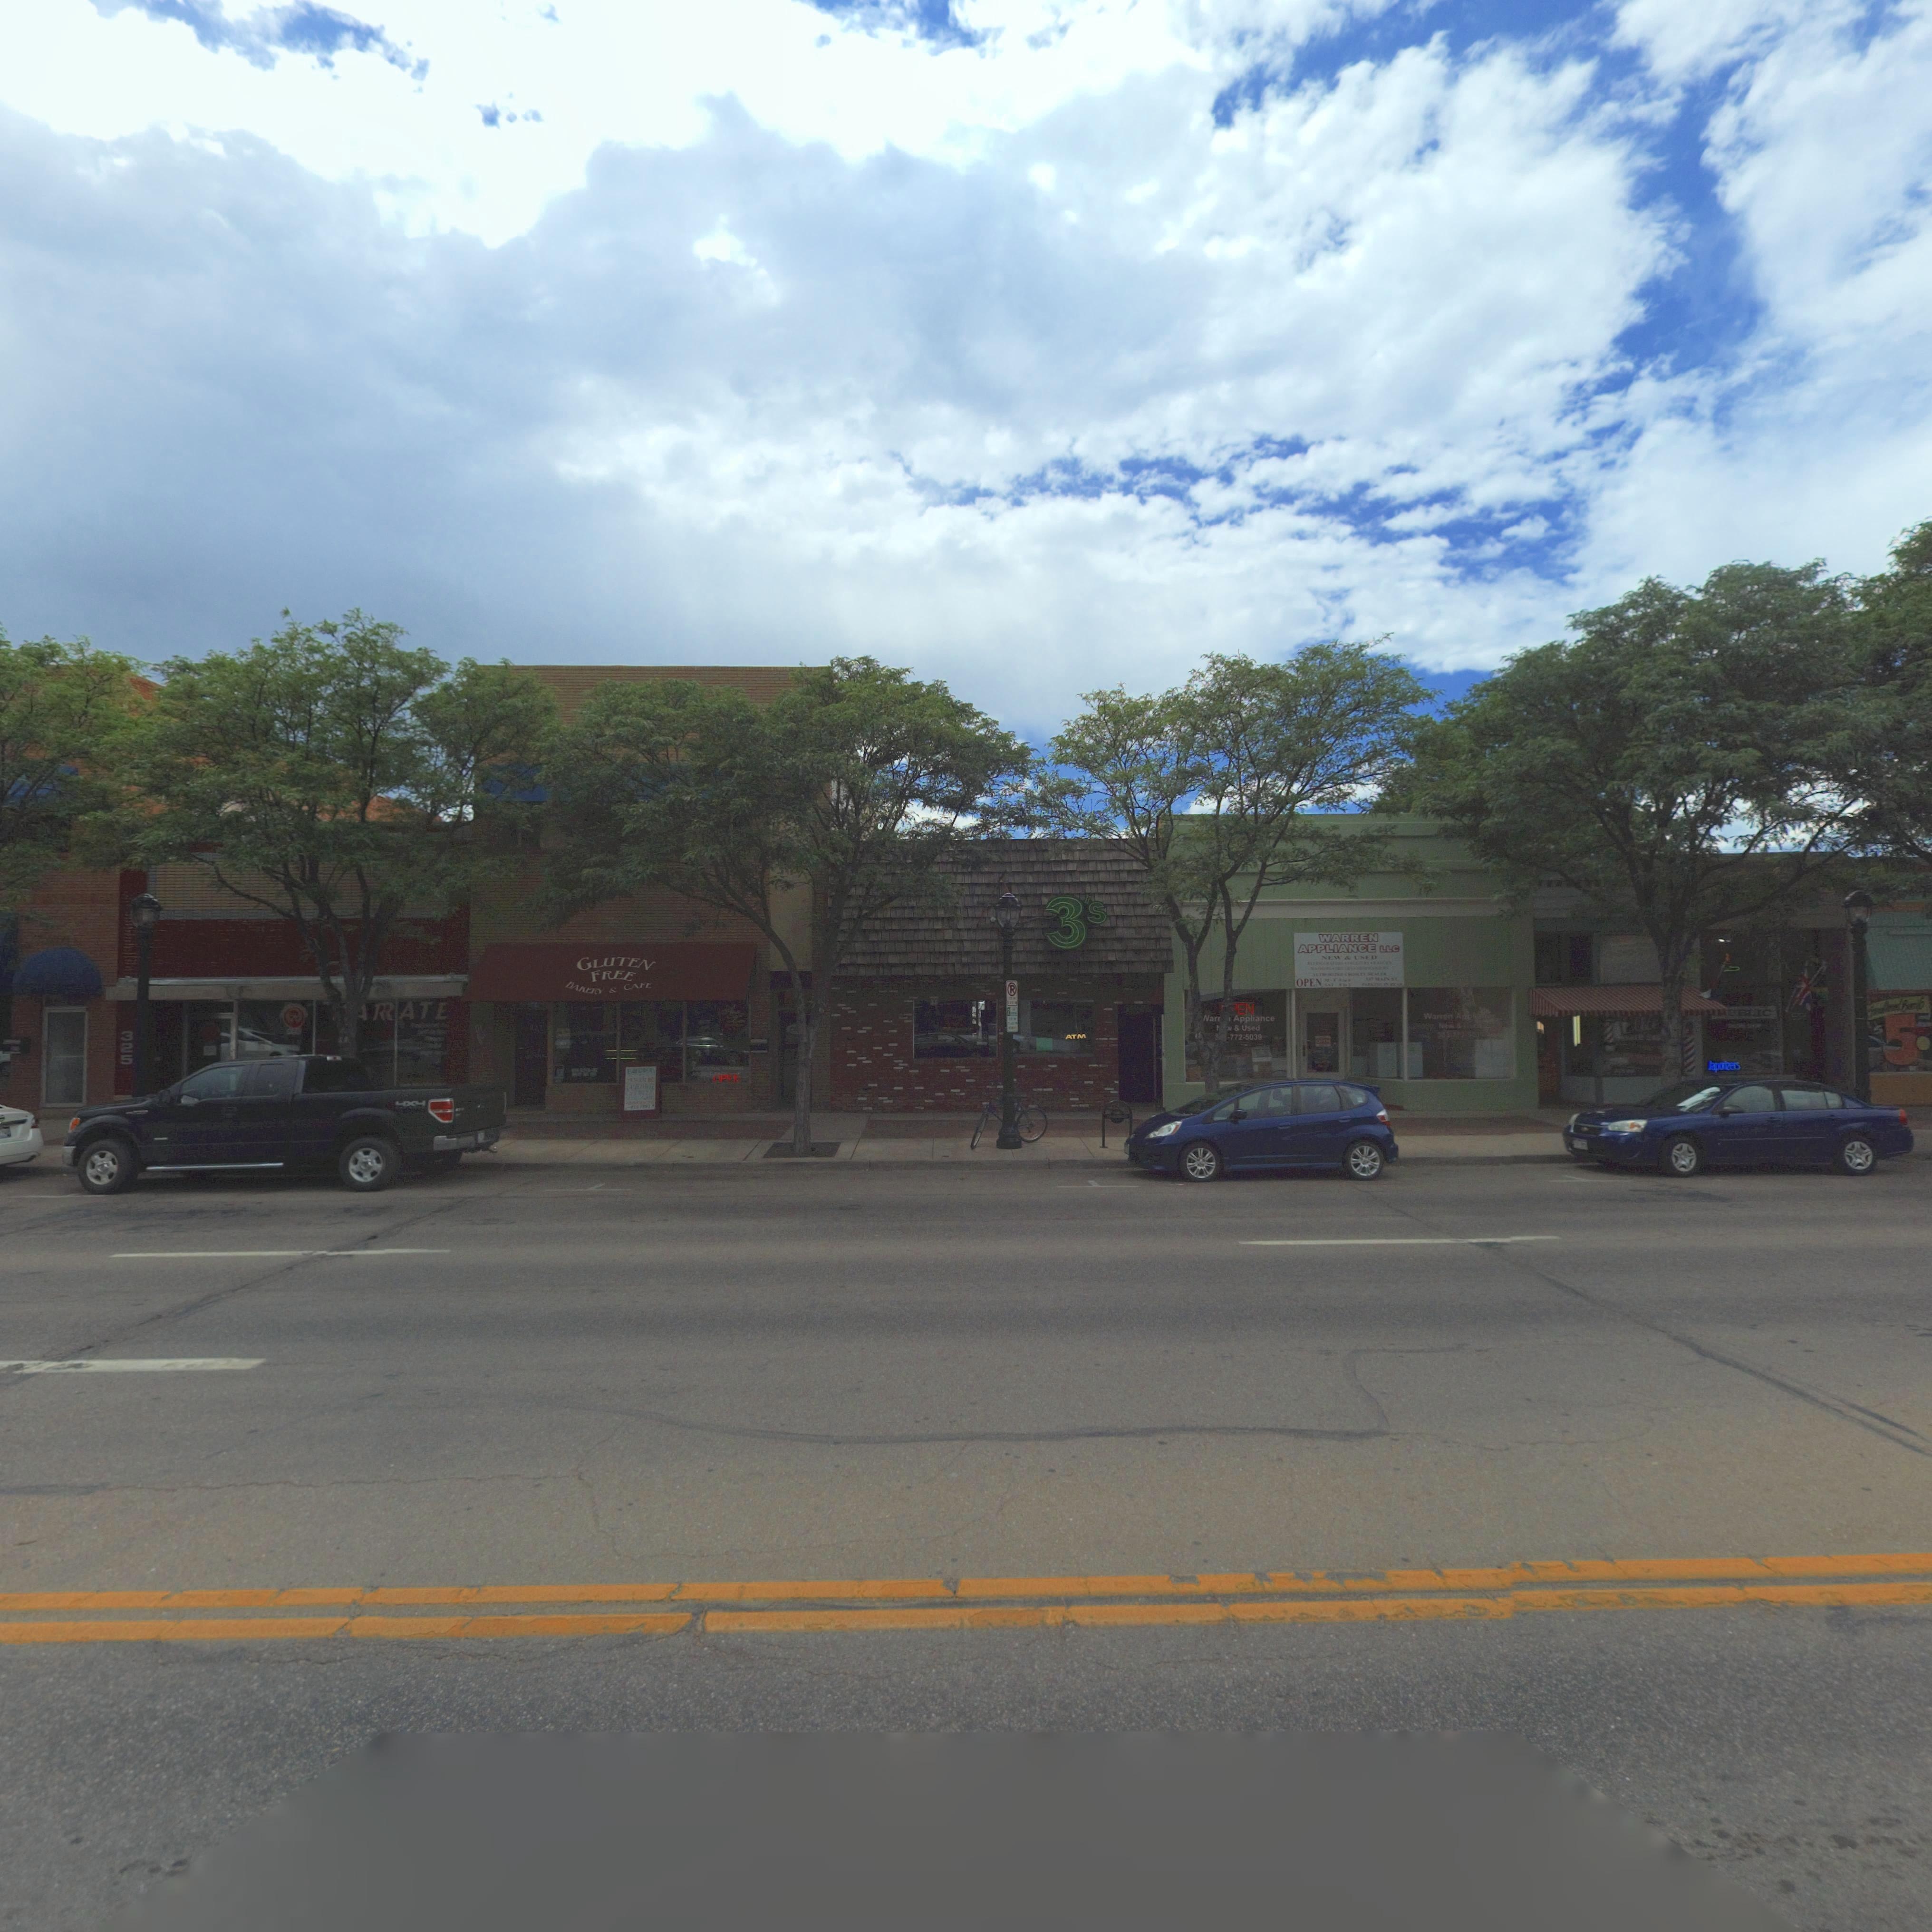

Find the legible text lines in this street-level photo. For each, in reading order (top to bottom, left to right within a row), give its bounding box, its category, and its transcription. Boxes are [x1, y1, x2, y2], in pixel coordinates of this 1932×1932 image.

[1043, 893, 1107, 950] BusinessName: 3's
[1318, 933, 1378, 942] BusinessName: WARREN
[1297, 943, 1400, 953] BusinessName: APPLIANCE LLC
[576, 955, 657, 971] BusinessName: GLUTEN
[590, 969, 637, 983] BusinessName: FREE
[1365, 976, 1373, 981] StreetNumber: **7
[1375, 976, 1399, 981] StreetName: MAIN ST
[564, 980, 653, 995] BusinessName: BAKERY & CAFE
[1201, 1014, 1275, 1024] BusinessName: Warr** Appliance
[1423, 1012, 1496, 1021] BusinessName: Warren App******
[120, 1030, 133, 1065] StreetNumber: 325